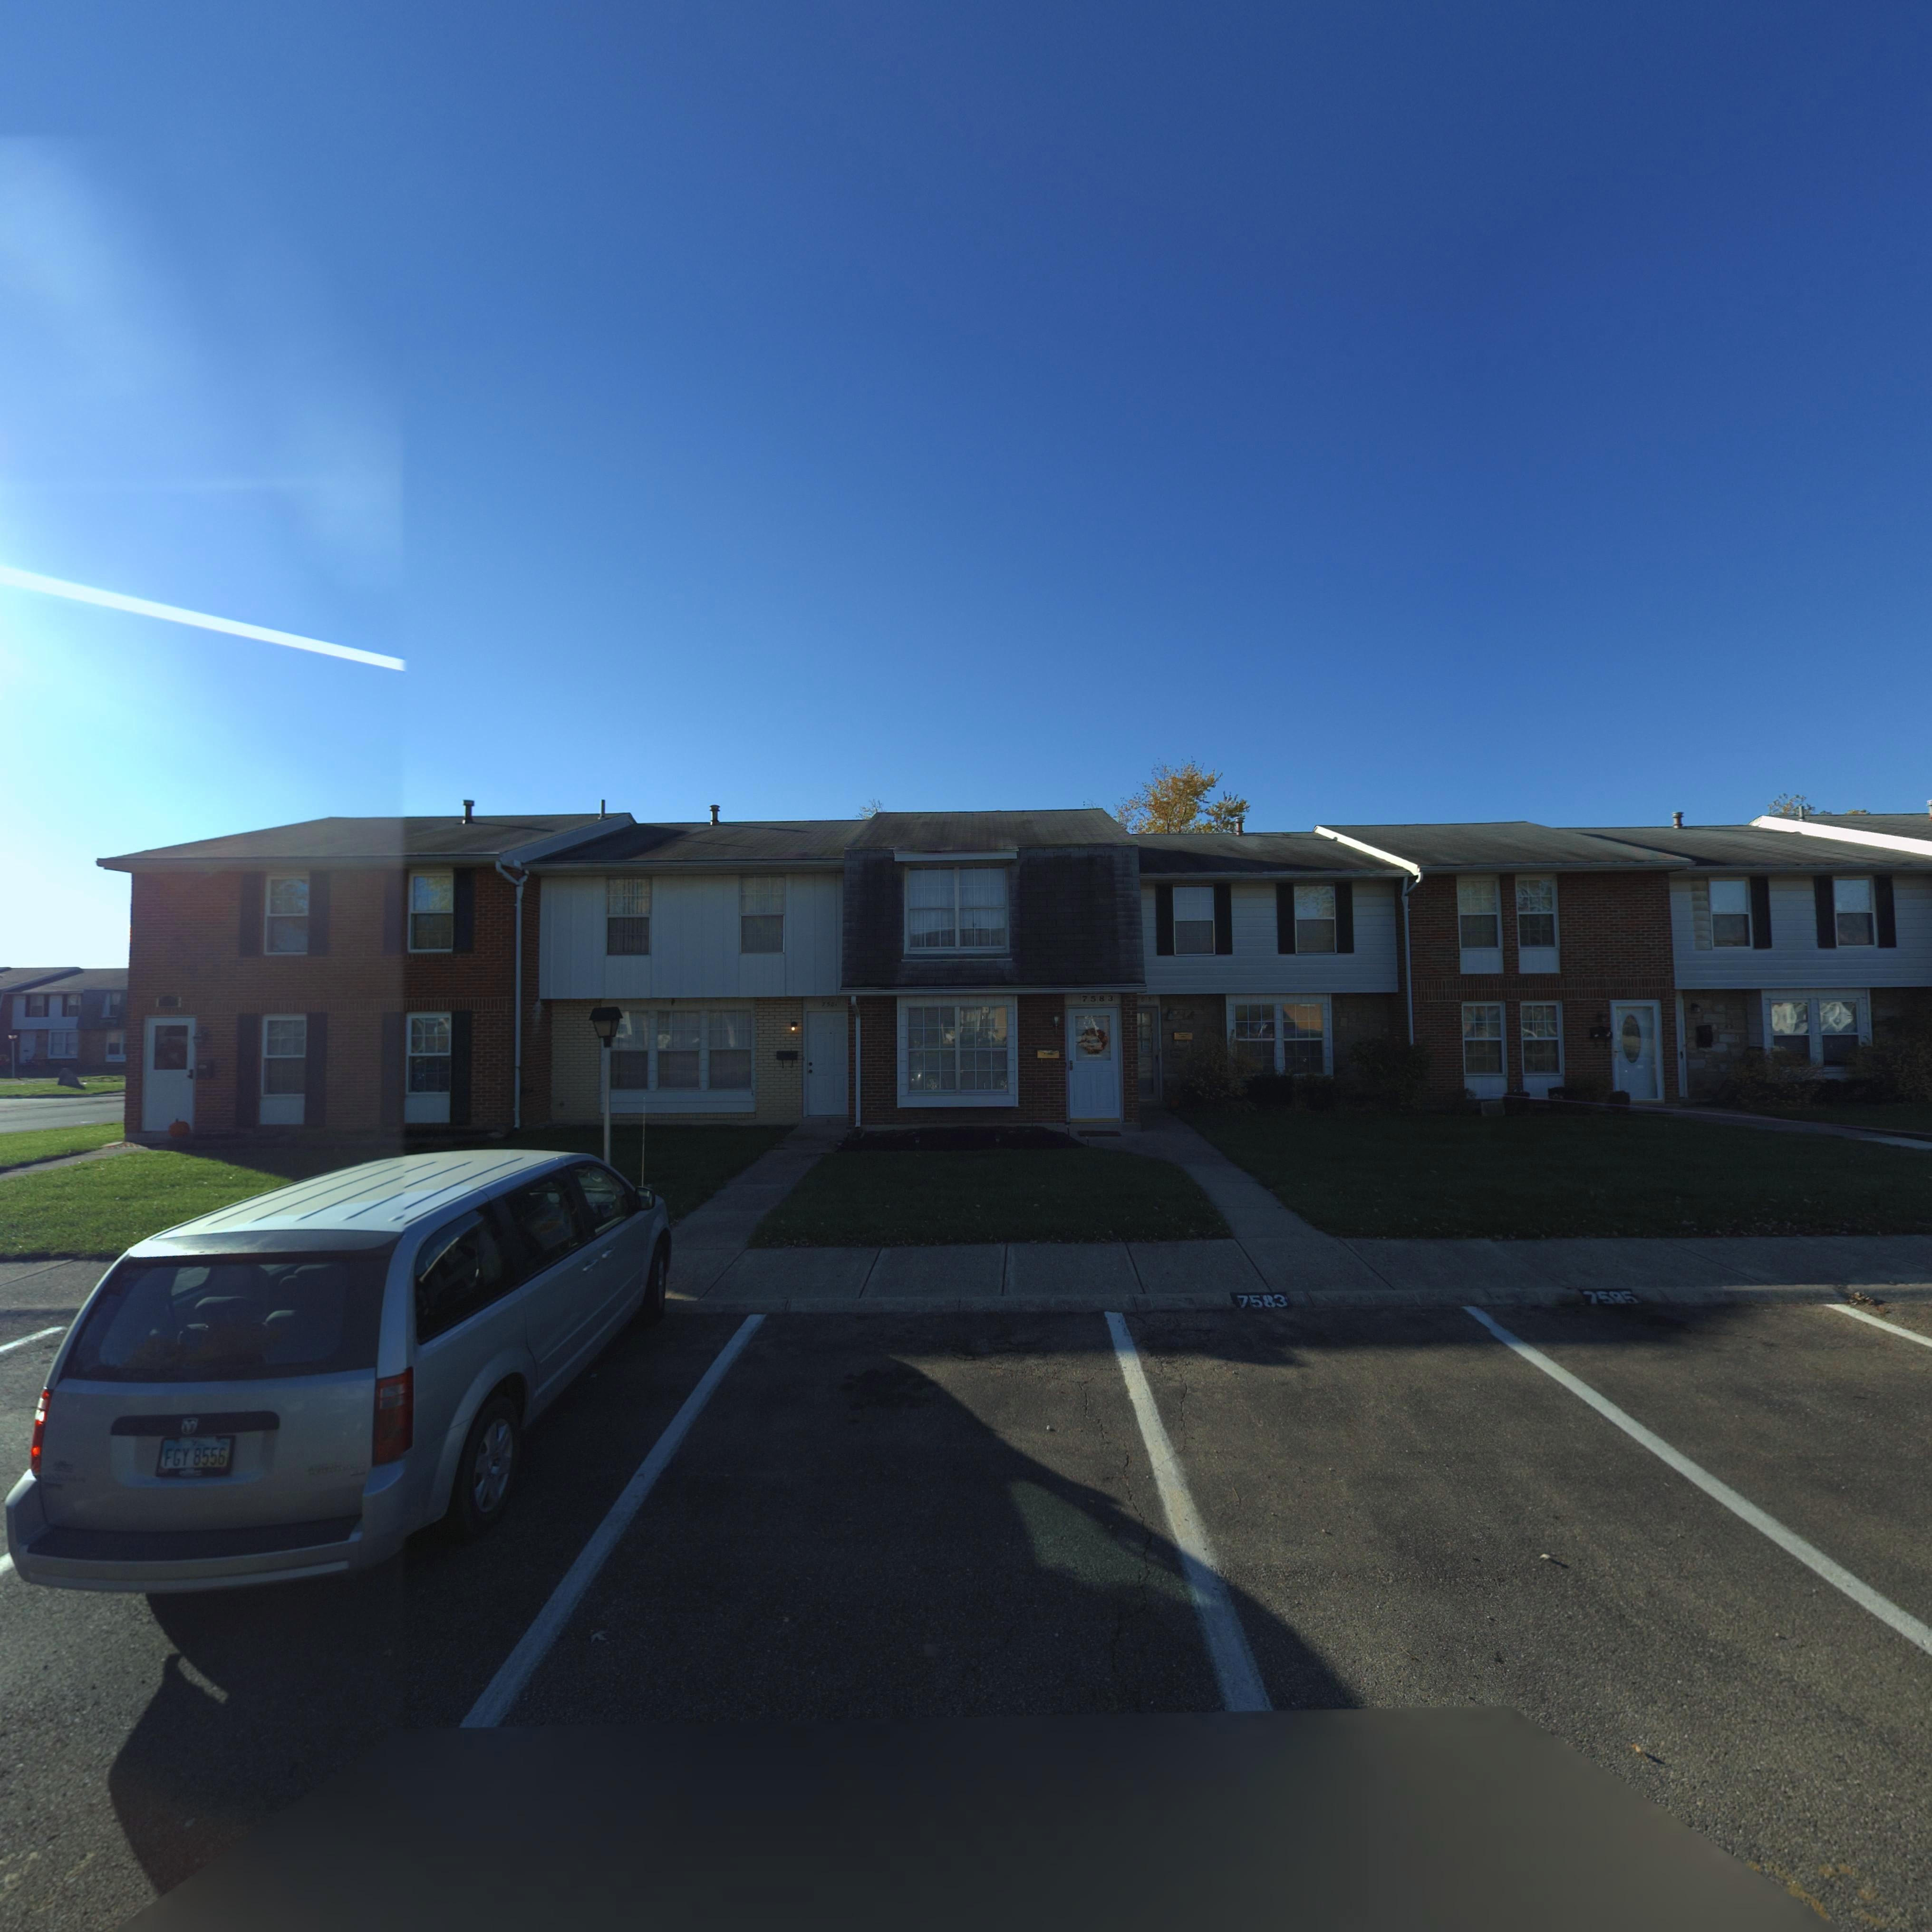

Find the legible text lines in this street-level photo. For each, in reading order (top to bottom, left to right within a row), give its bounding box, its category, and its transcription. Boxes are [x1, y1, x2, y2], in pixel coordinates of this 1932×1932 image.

[1081, 995, 1114, 1003] StreetNumber: 7583
[1140, 996, 1152, 1003] StreetNumber: 85
[821, 1001, 839, 1007] StreetNumber: 7581
[1581, 1290, 1641, 1304] StreetNumber: 7585
[1236, 1294, 1288, 1309] StreetNumber: 7583